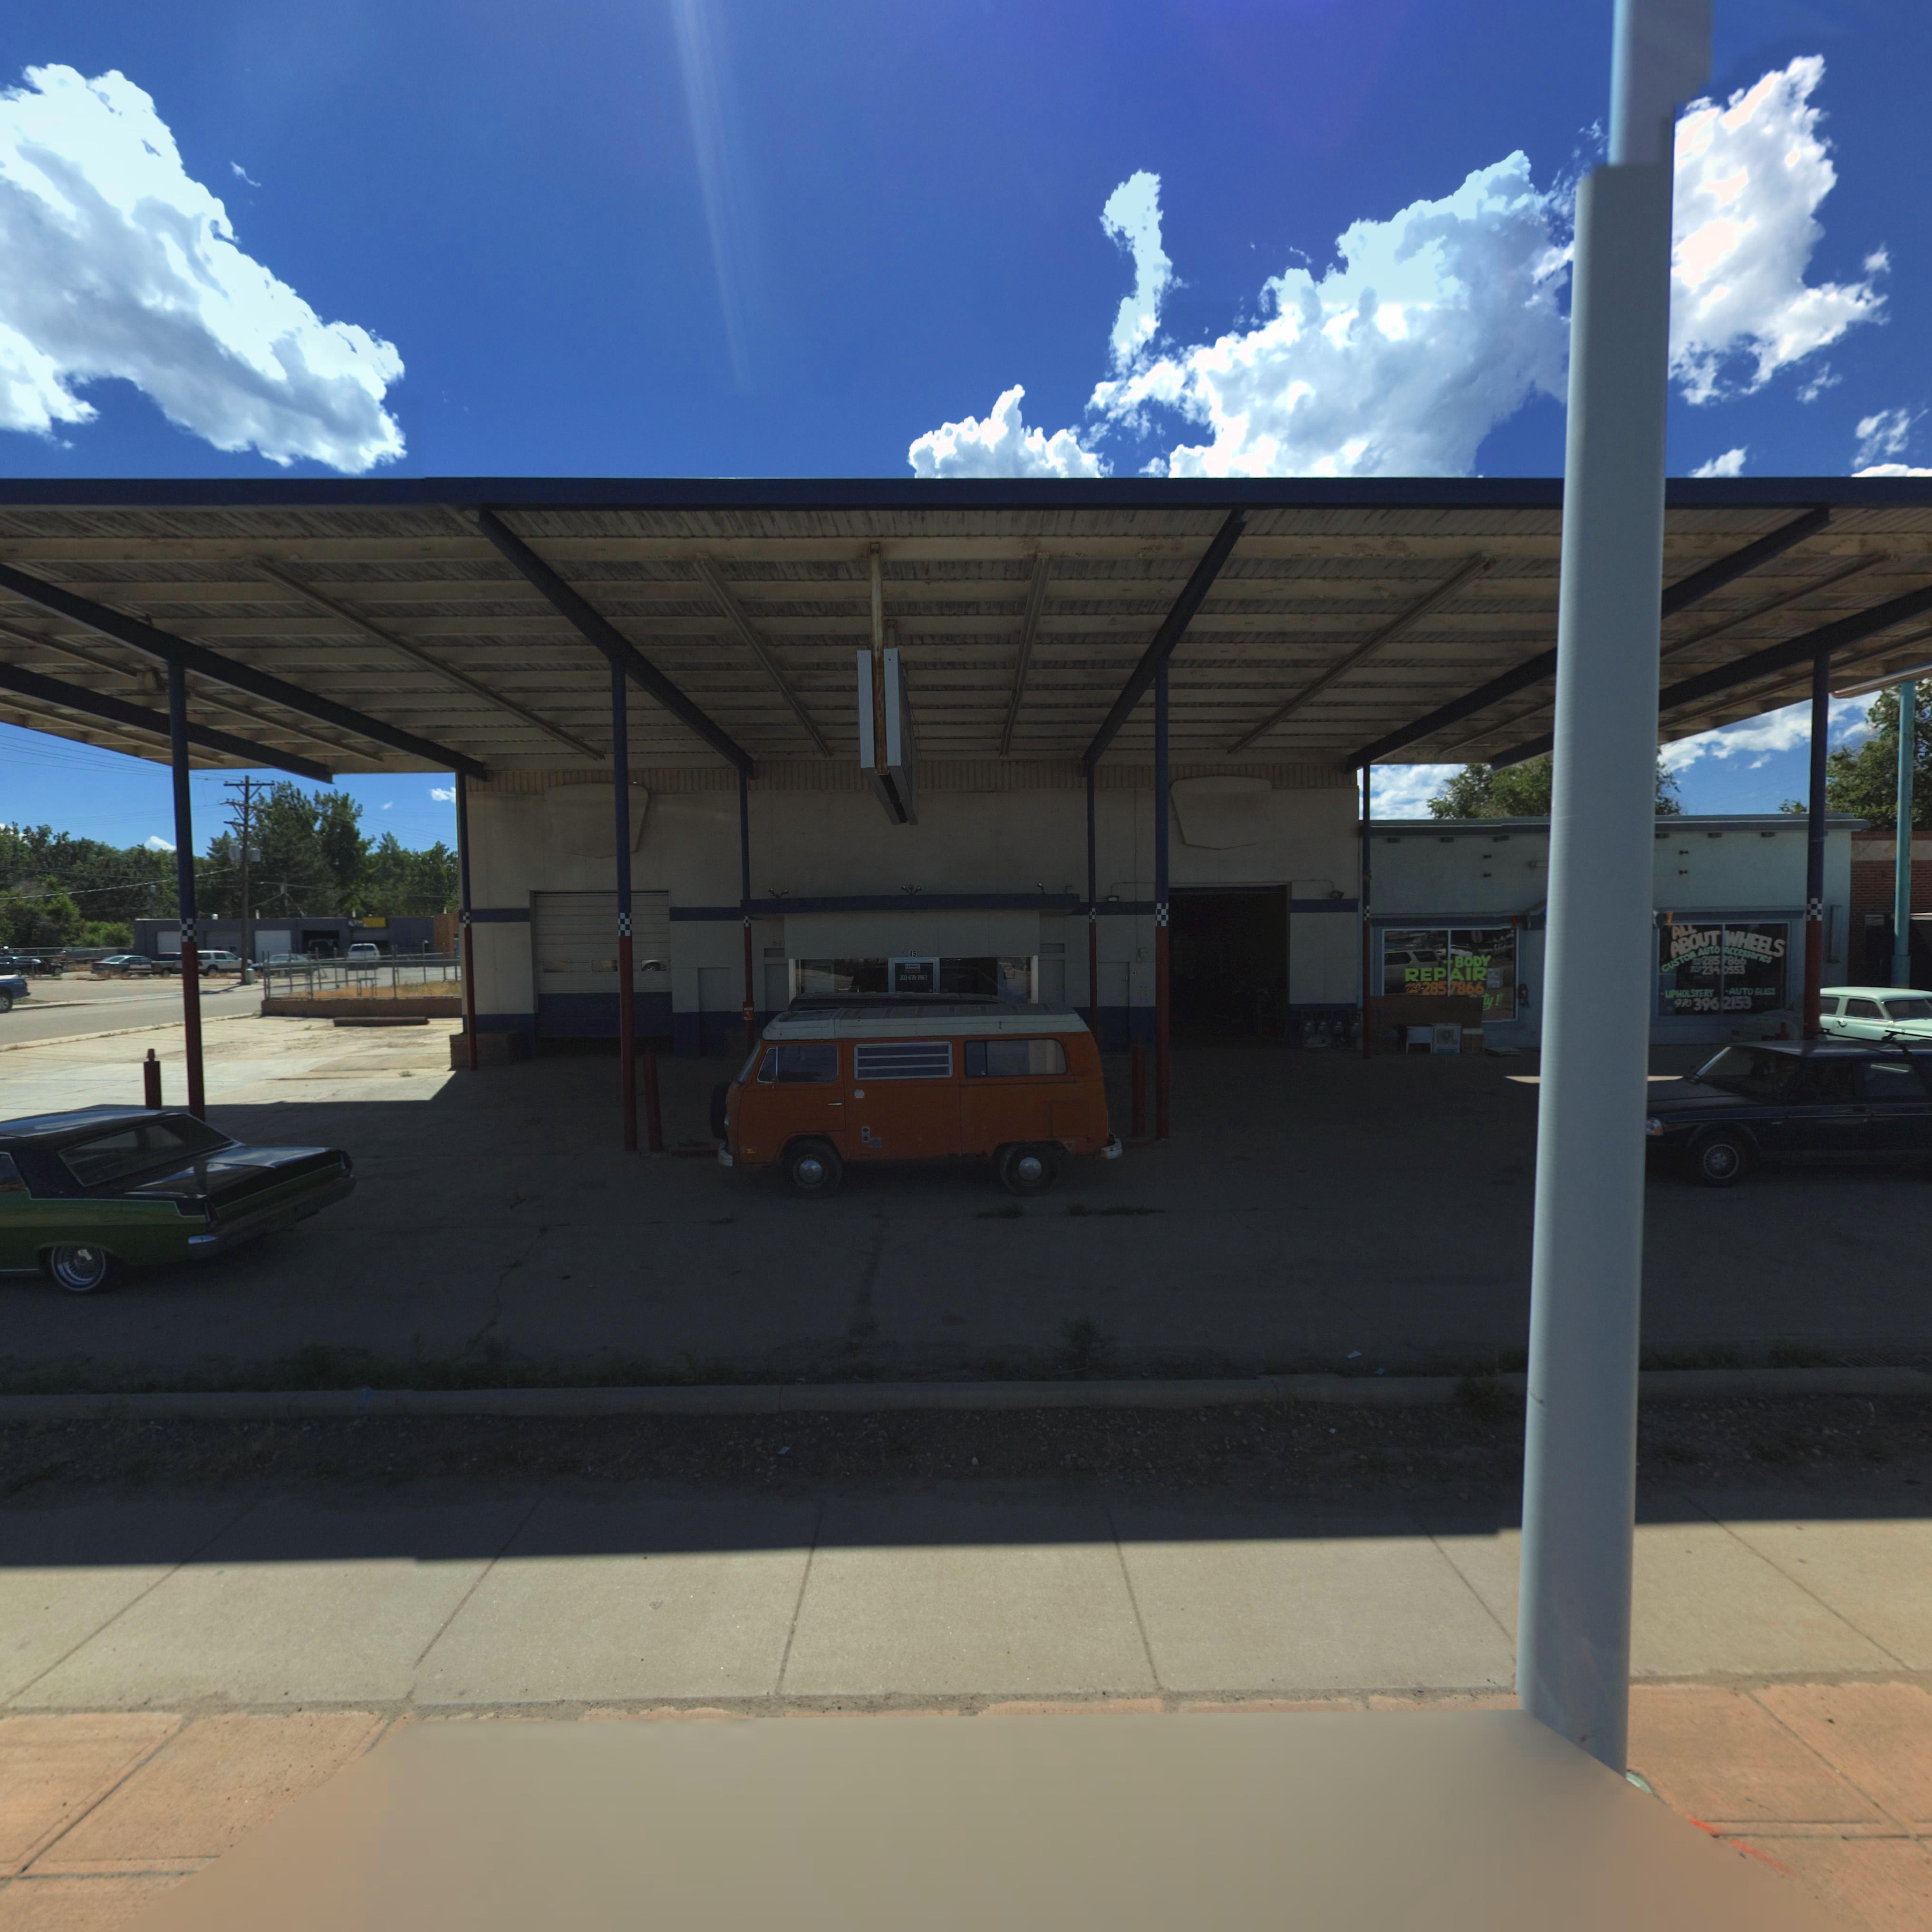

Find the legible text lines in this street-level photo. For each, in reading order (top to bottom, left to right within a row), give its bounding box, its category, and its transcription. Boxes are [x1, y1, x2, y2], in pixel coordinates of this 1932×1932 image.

[353, 919, 363, 924] BusinessName: T*
[1671, 924, 1697, 940] BusinessName: ALL
[1670, 930, 1786, 958] BusinessName: ABOUT WHEELS
[908, 950, 916, 957] StreetNumber: 45
[1661, 945, 1773, 973] BusinessName: CUSTO* AUTO ACCeSSOrieS